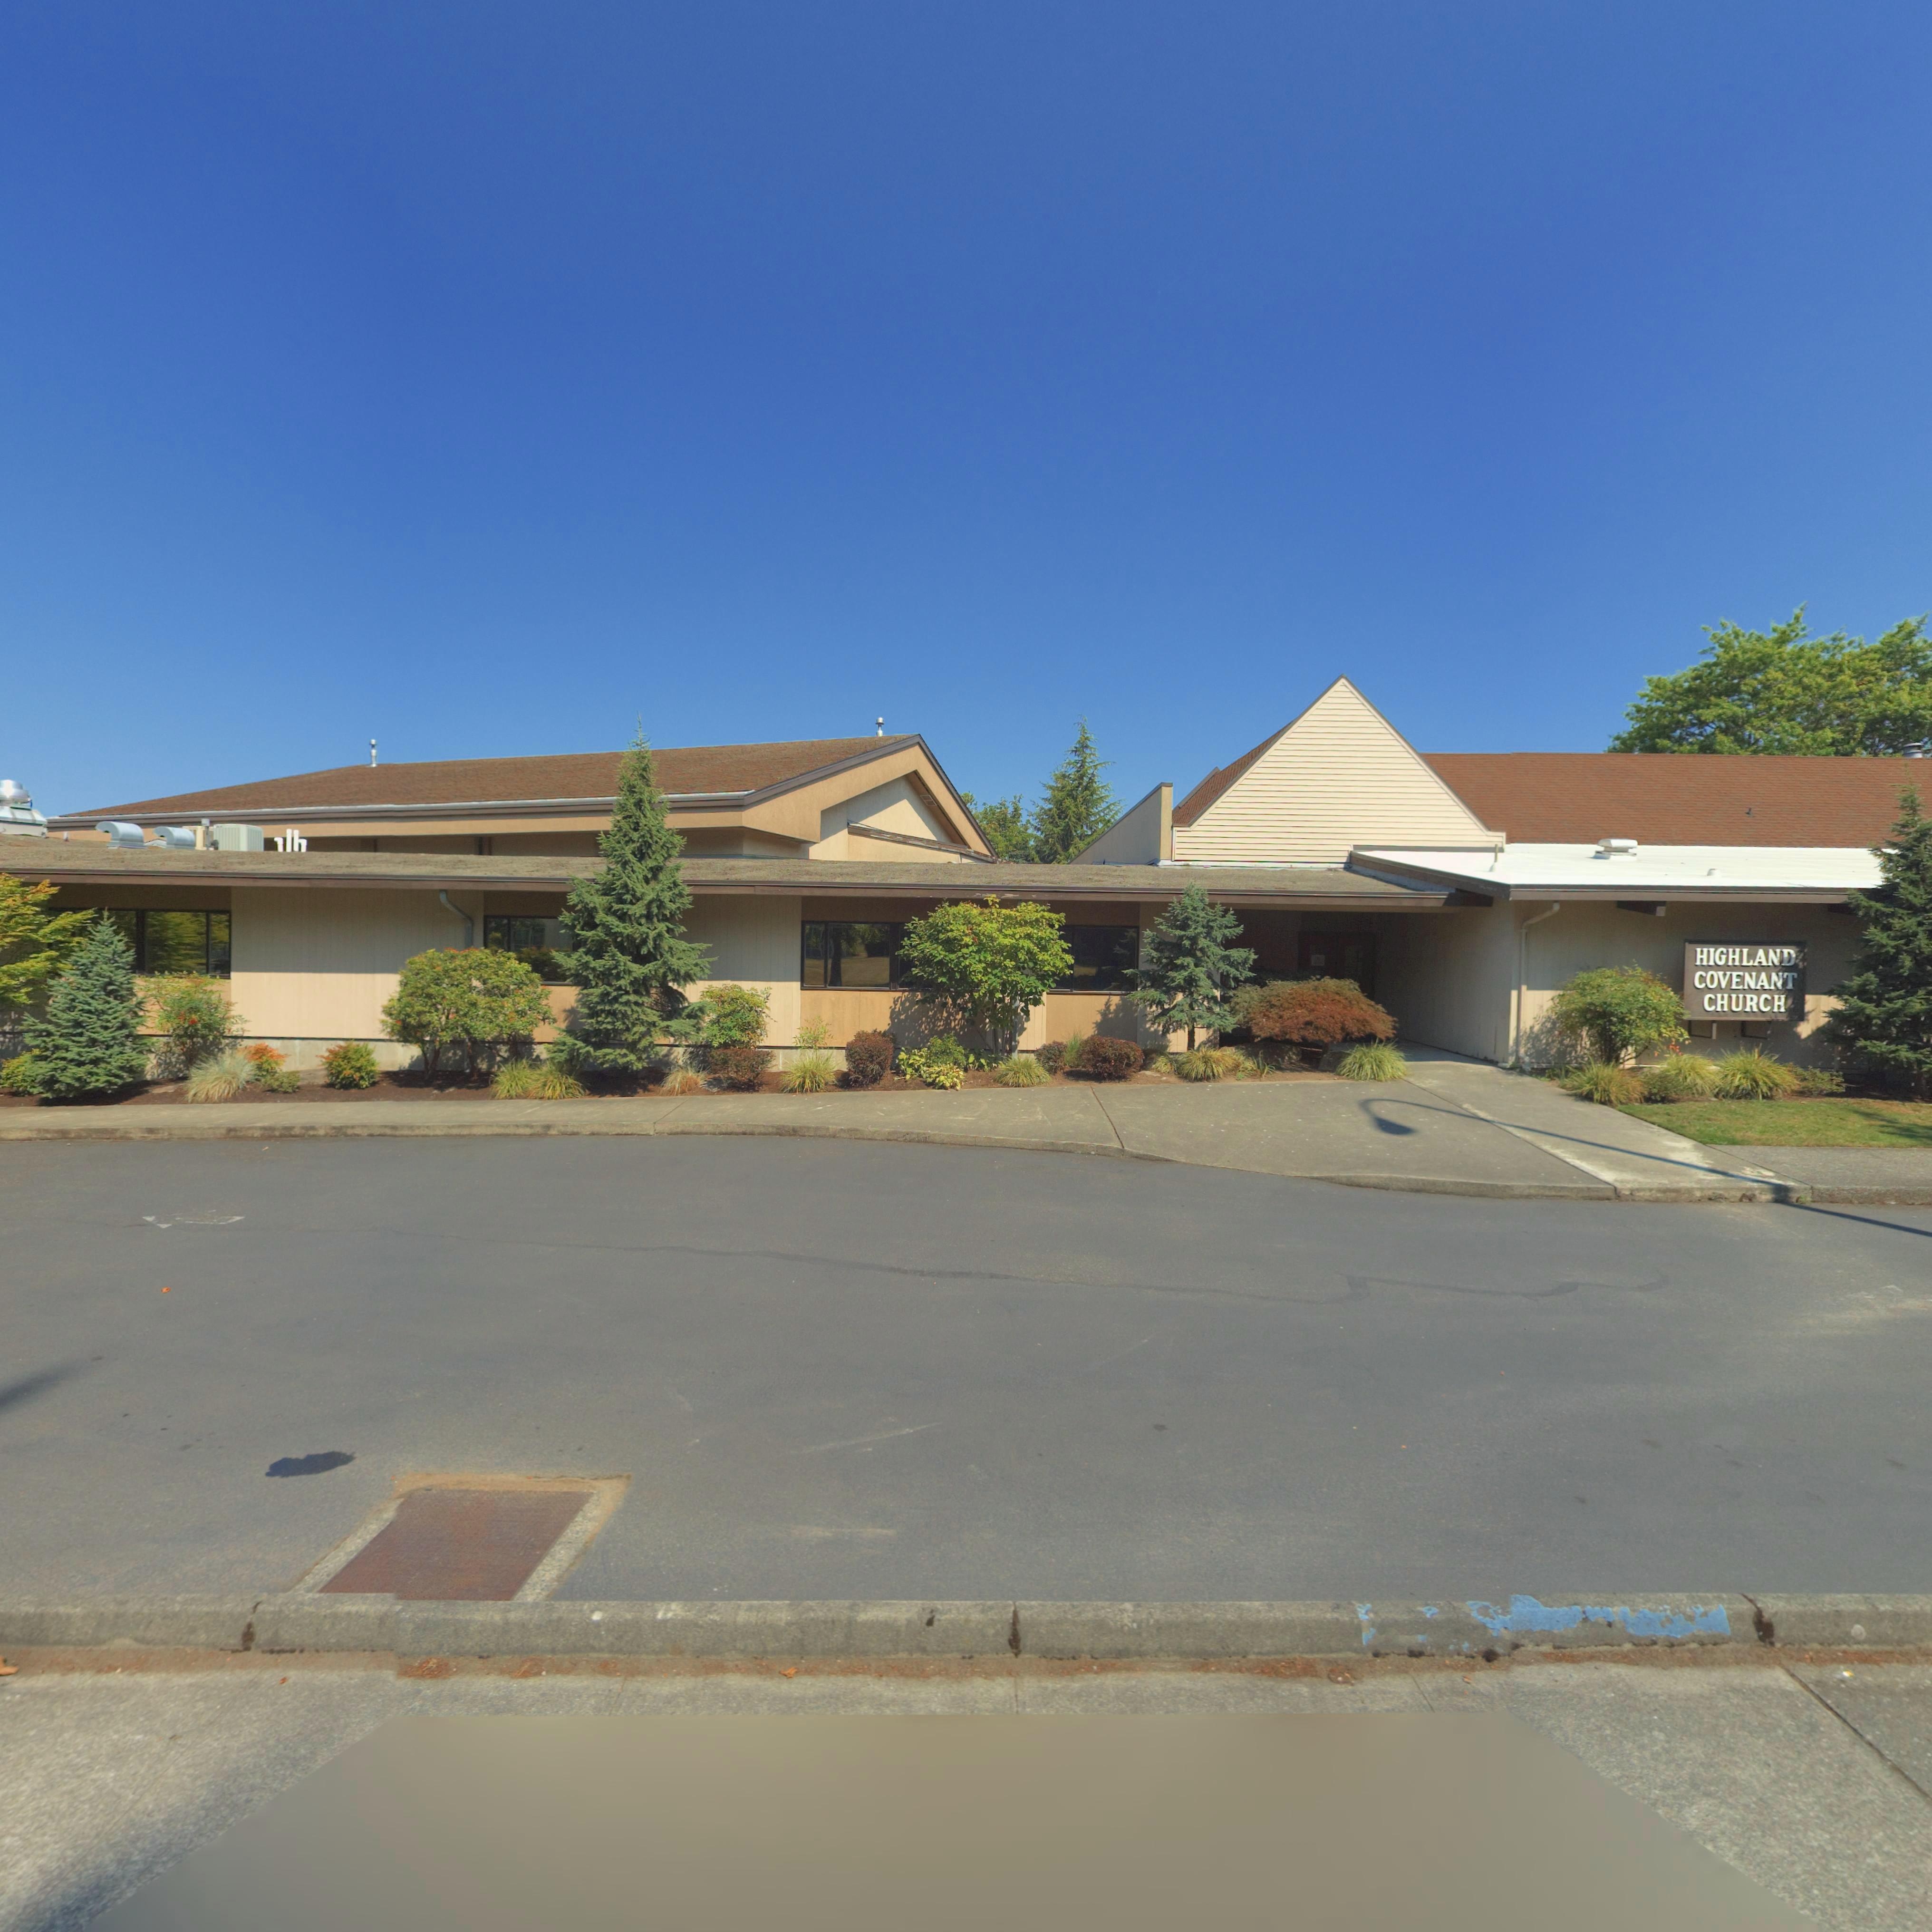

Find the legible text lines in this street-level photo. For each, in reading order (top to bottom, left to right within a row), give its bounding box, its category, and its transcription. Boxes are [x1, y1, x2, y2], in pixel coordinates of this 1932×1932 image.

[1692, 946, 1797, 967] BusinessName: HIGHLAND
[1692, 971, 1799, 992] BusinessName: COVENANT
[1702, 994, 1787, 1014] BusinessName: CHURCH